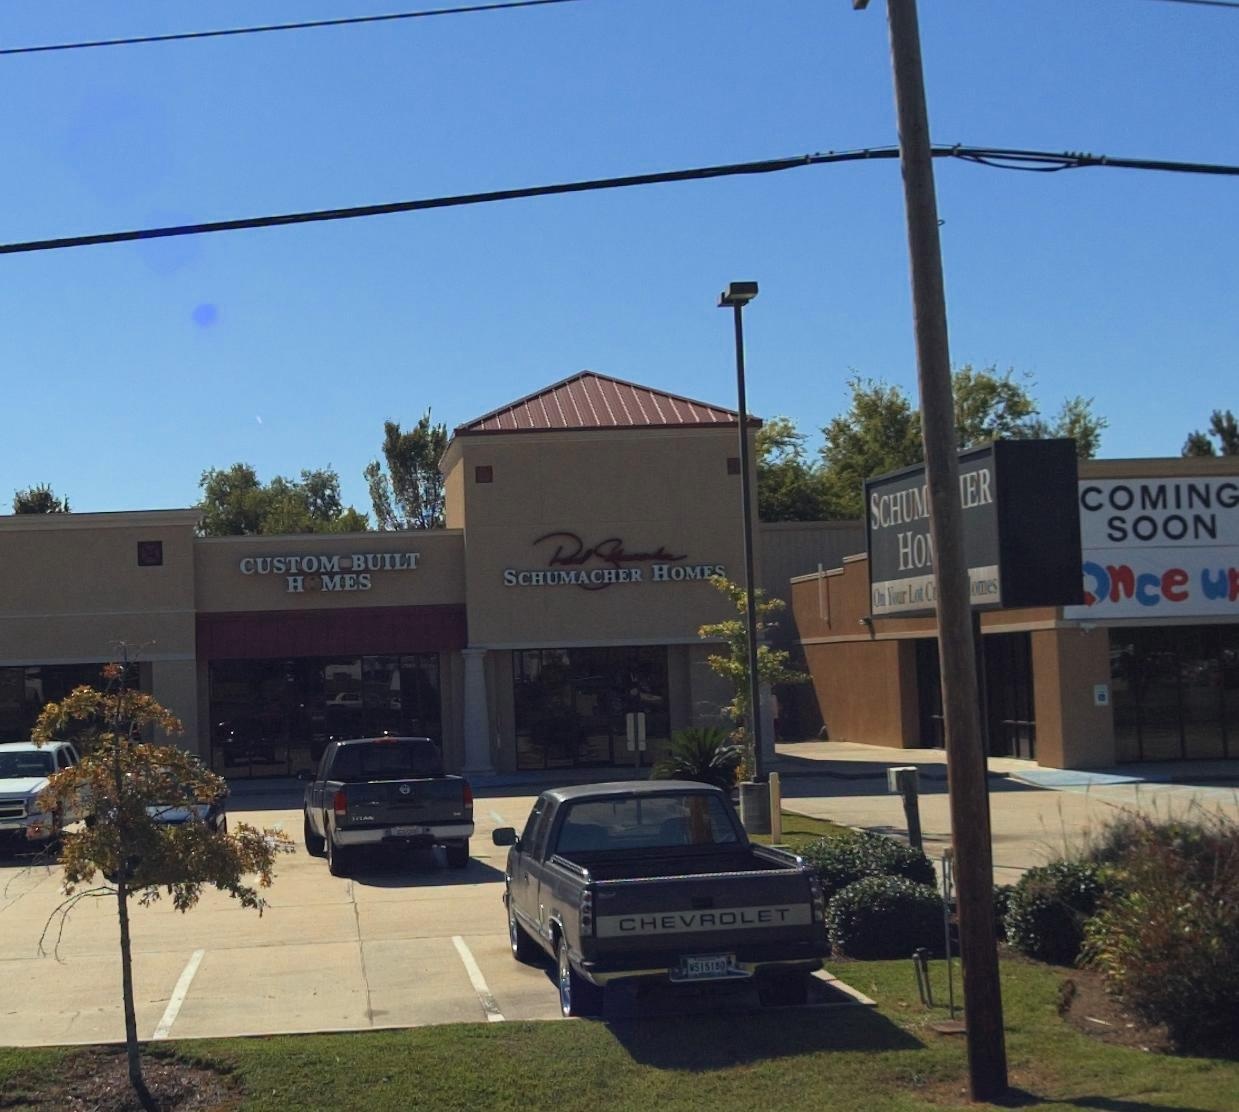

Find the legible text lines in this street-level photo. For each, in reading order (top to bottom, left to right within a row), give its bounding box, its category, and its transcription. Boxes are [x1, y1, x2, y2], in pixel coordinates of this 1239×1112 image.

[866, 465, 998, 535] BusinessName: SCHUM***ER
[1077, 480, 1238, 515] None: COMING
[1104, 510, 1220, 545] None: SOON
[284, 571, 374, 595] None: H*MES
[236, 550, 423, 578] None: CUSTOM BUILT
[501, 561, 727, 589] BusinessName: SCHUMACHER HOMES
[871, 577, 934, 611] None: On y**r Lot C
[894, 528, 929, 575] BusinessName: HO
[968, 575, 1000, 600] None: omes
[1101, 560, 1231, 610] BusinessName: nce u
[616, 905, 794, 935] None: CHEVROLET
[692, 959, 721, 975] None: 51518